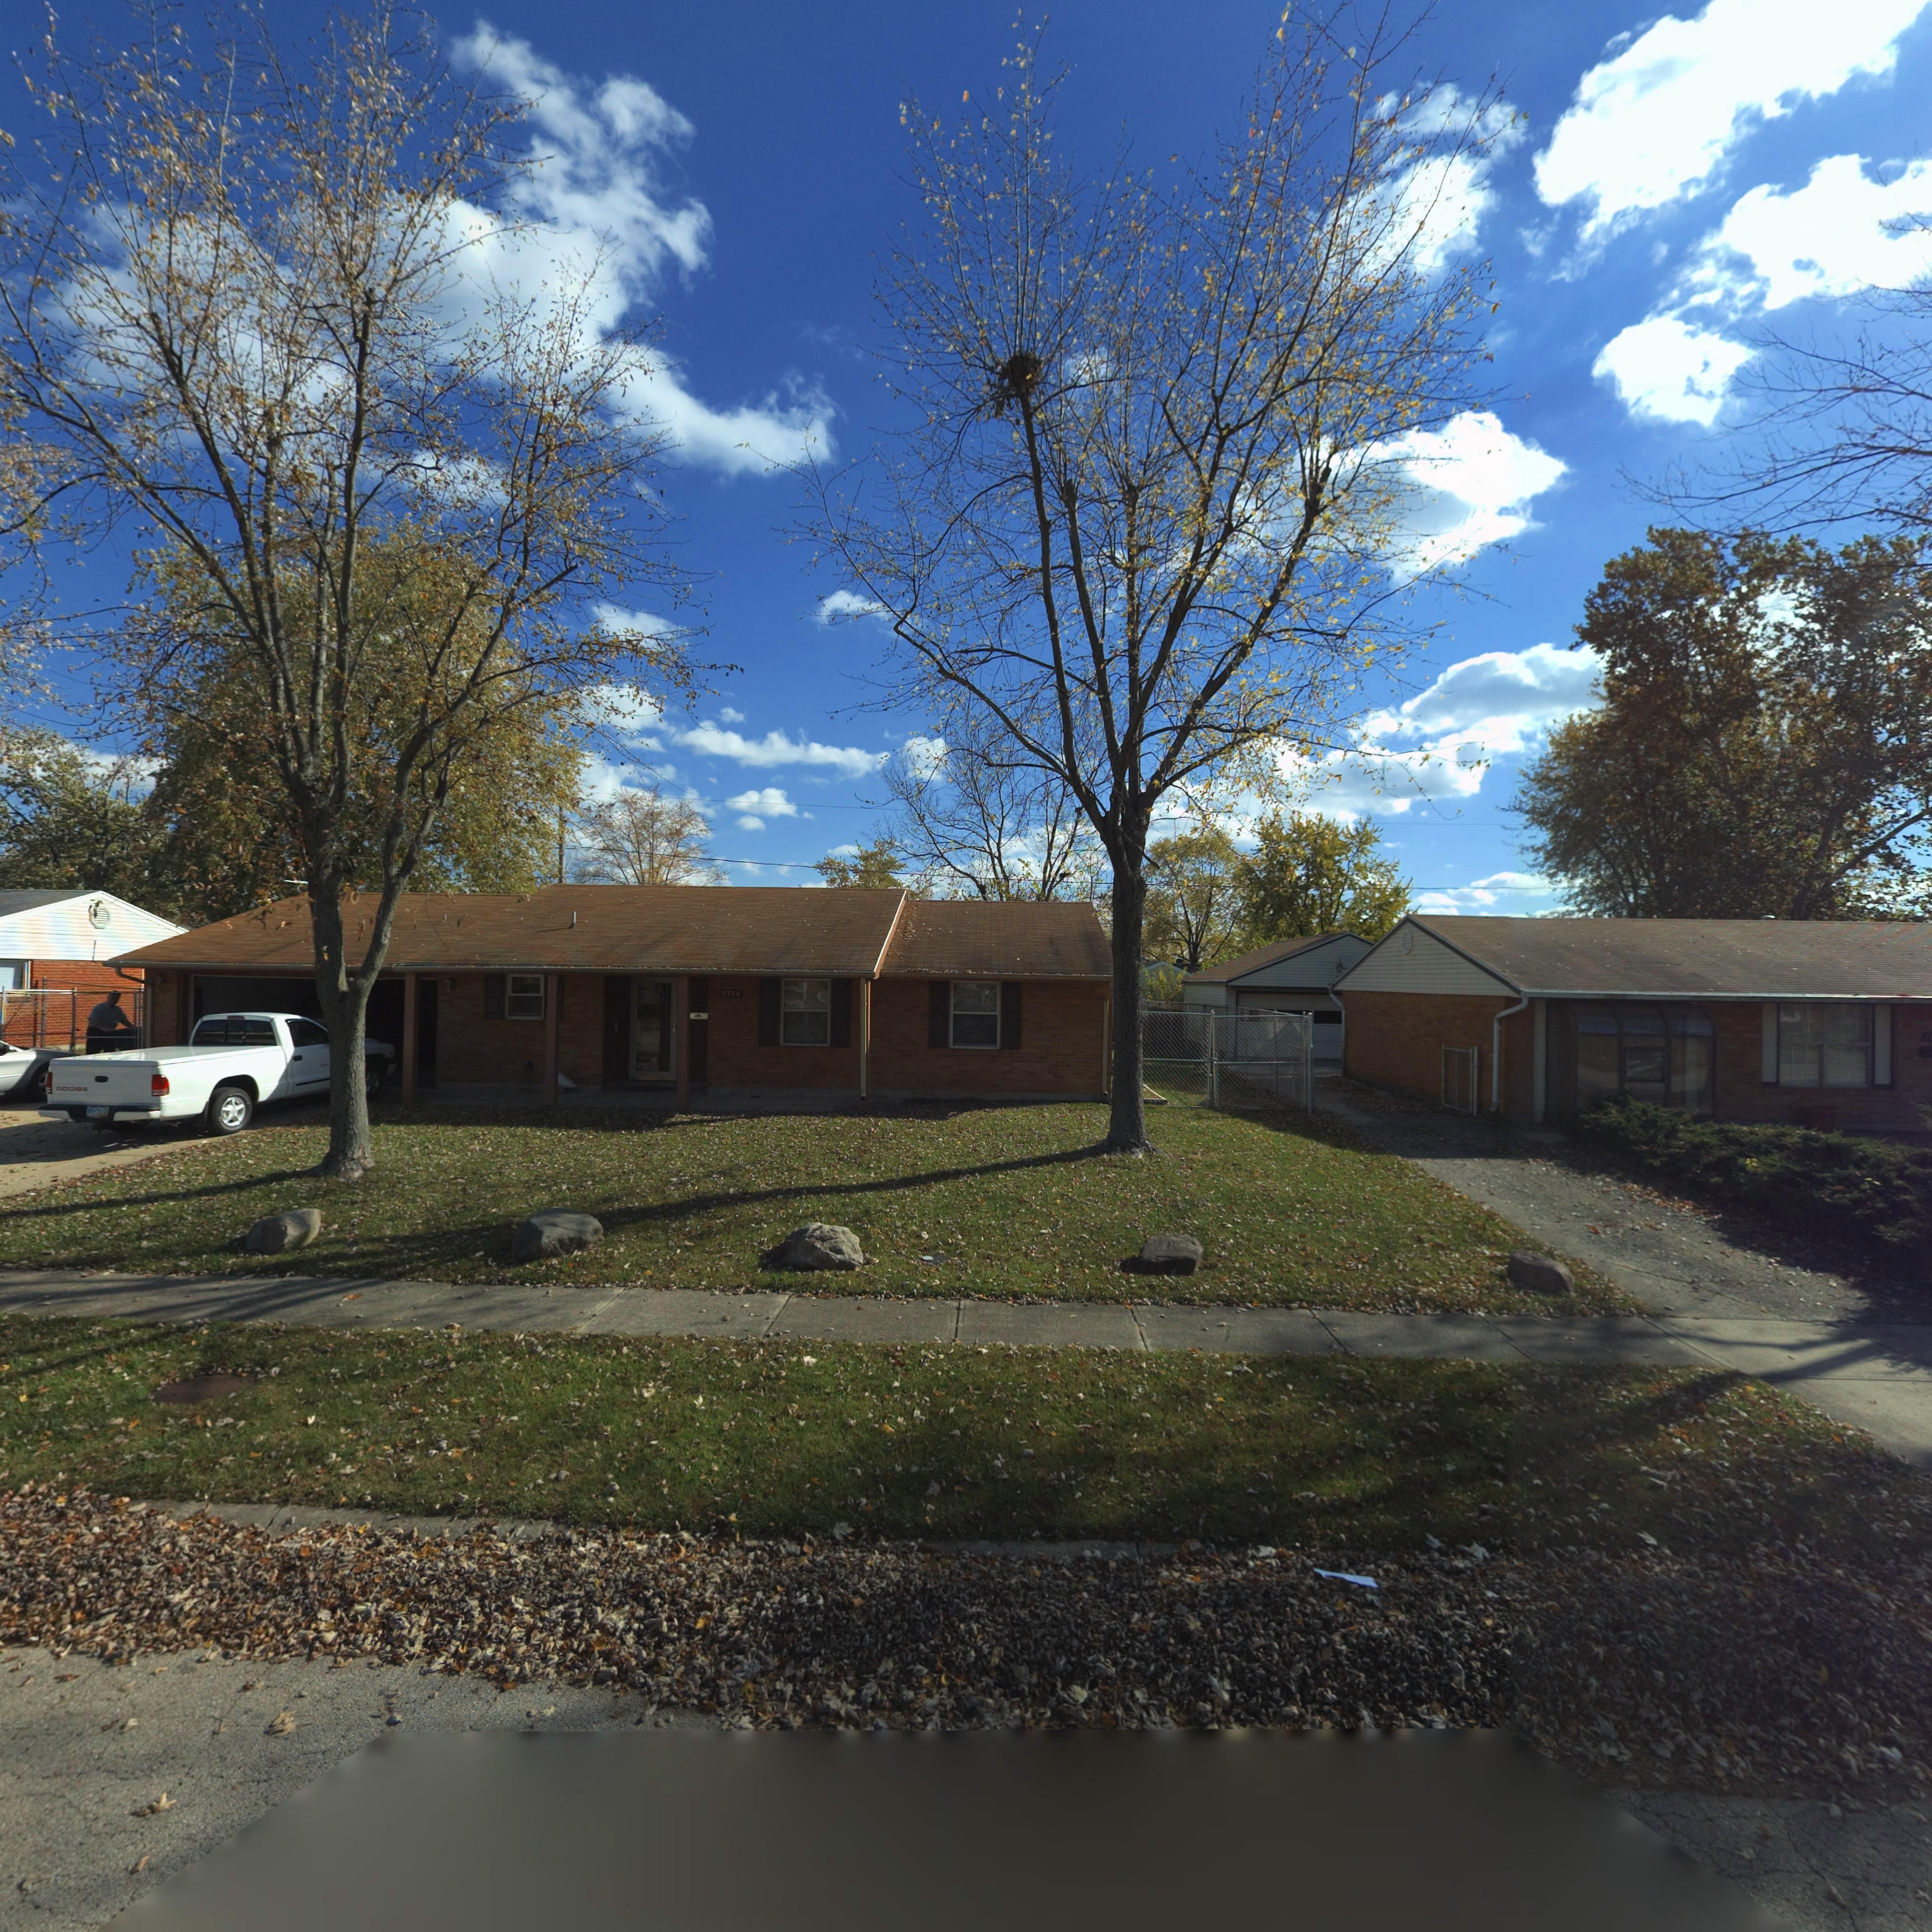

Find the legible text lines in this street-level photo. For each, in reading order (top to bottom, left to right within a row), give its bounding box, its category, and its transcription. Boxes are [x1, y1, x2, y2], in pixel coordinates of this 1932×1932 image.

[720, 990, 741, 998] StreetNumber: 7714